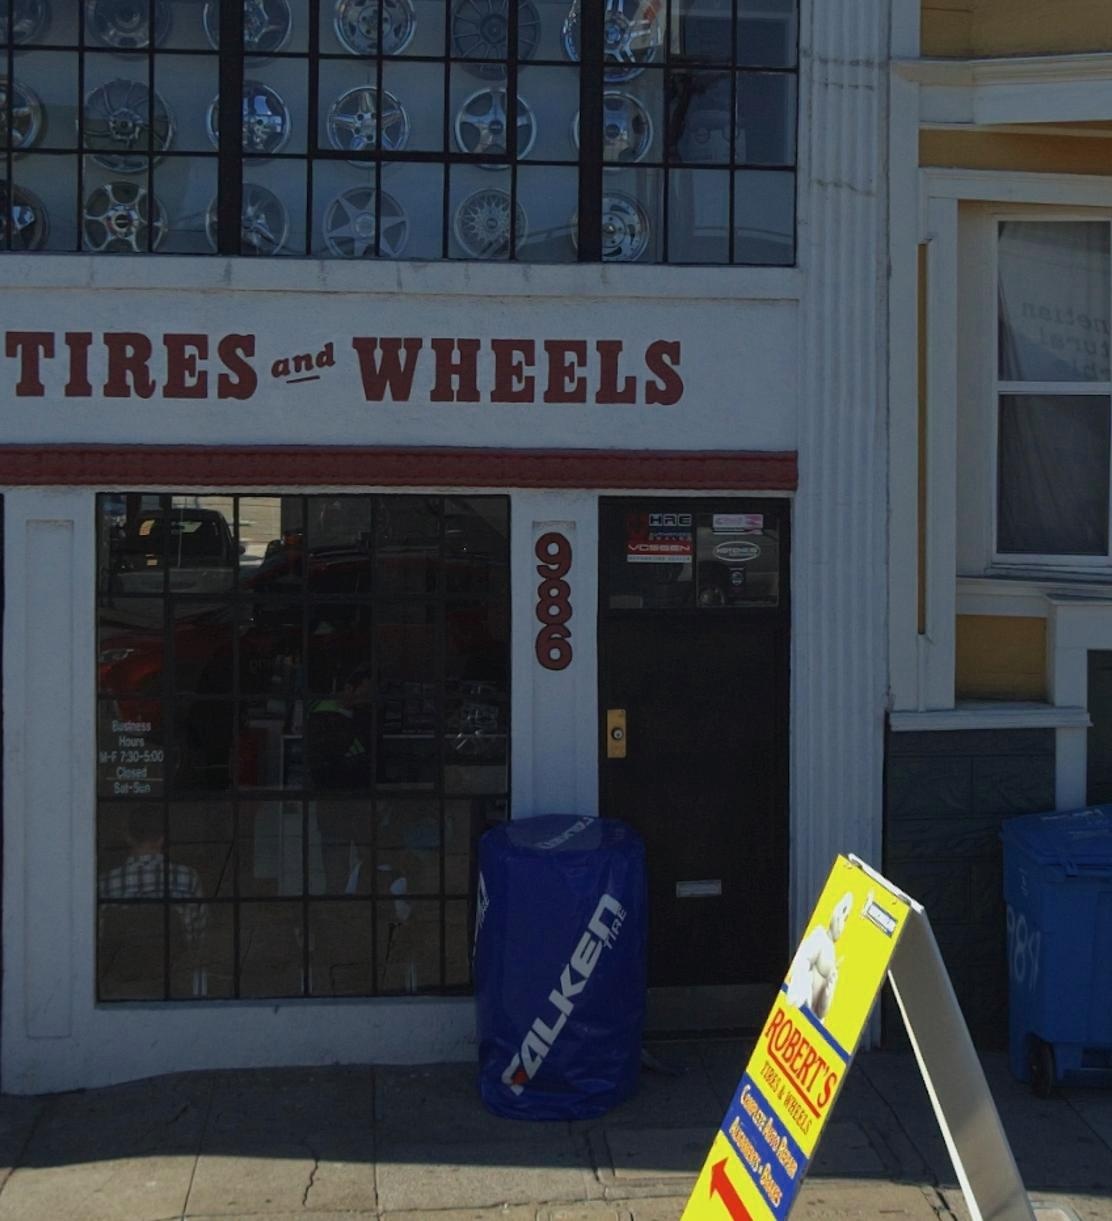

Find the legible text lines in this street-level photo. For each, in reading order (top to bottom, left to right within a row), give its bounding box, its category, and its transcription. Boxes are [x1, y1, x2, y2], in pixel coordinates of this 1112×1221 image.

[2, 328, 685, 409] BusinessName: TIRES and WHEELS
[648, 513, 692, 526] None: H*E
[533, 531, 575, 672] StreetNumber: 986
[602, 905, 629, 952] None: TIRE
[497, 891, 623, 1101] None: FALKEN
[758, 1058, 814, 1138] BusinessName: TIRES & WHEELS
[762, 1005, 840, 1114] BusinessName: ROBERT'S